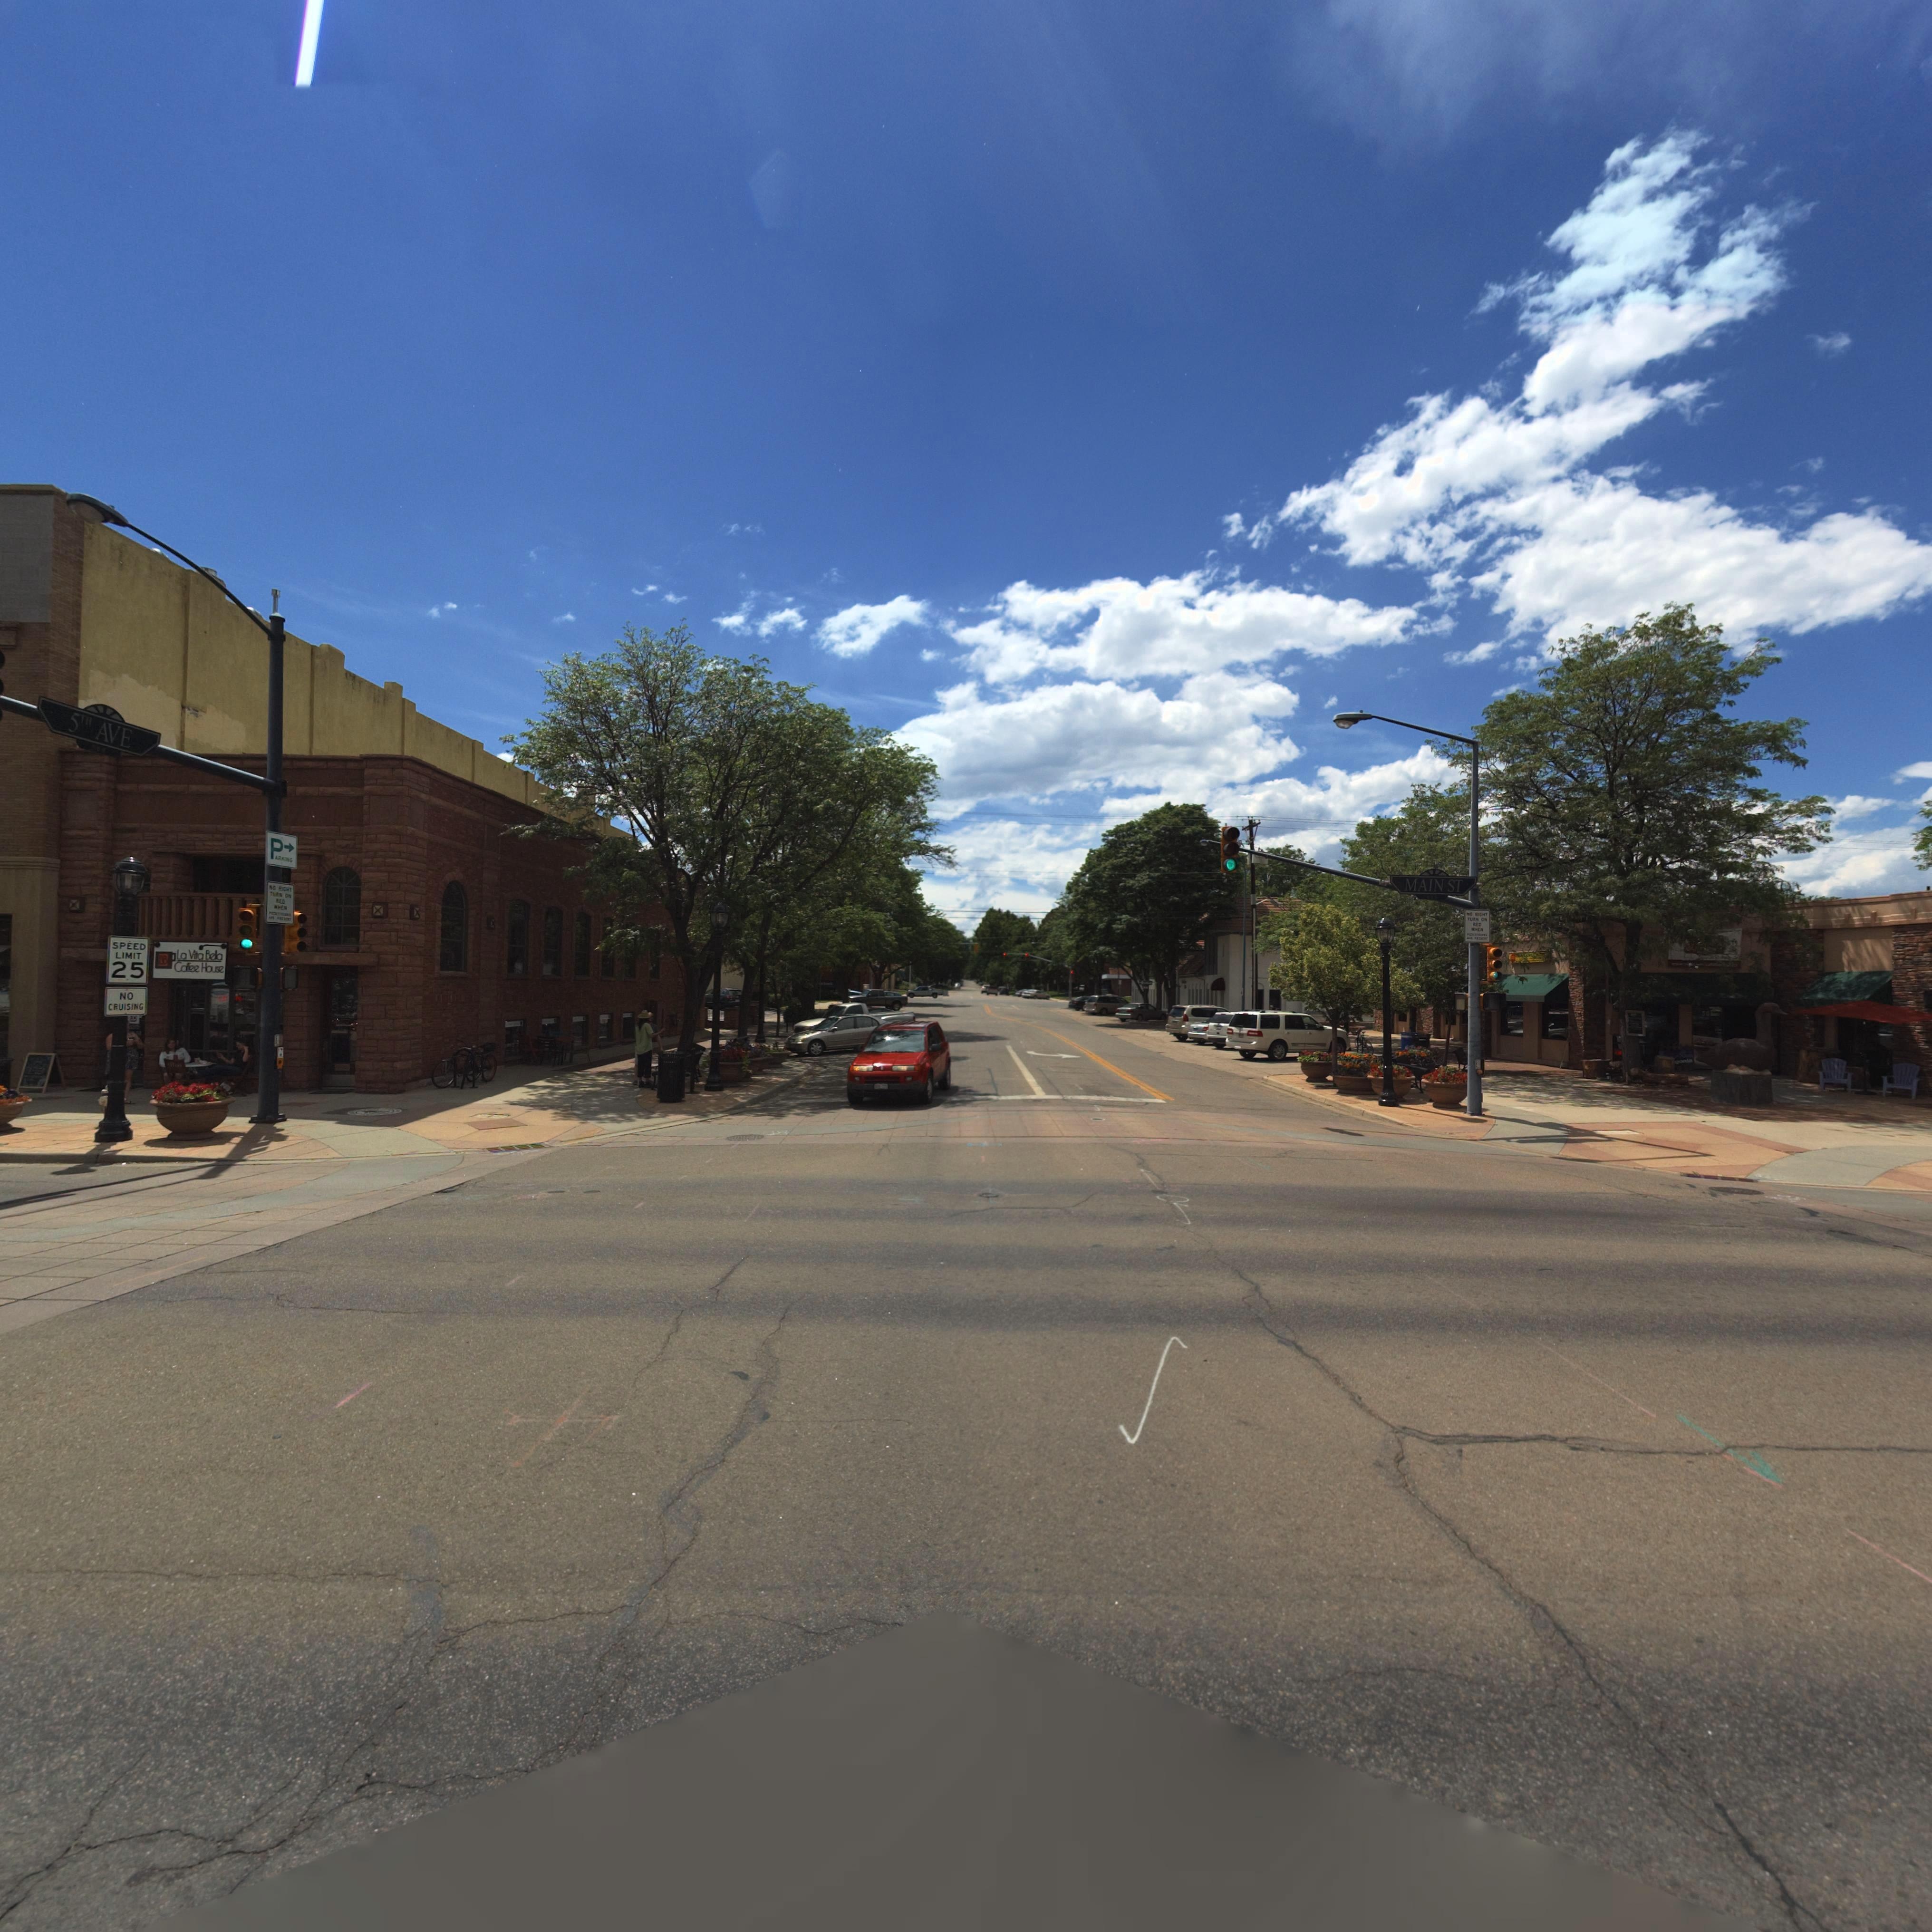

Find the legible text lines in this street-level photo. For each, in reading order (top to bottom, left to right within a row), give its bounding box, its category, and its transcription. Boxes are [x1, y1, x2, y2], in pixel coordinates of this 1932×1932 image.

[68, 712, 132, 748] StreetName: 5TH AVE
[1404, 878, 1464, 892] StreetName: MAIN ST
[176, 949, 222, 960] BusinessName: La Vita Bela
[174, 961, 224, 973] BusinessName: Coffee House